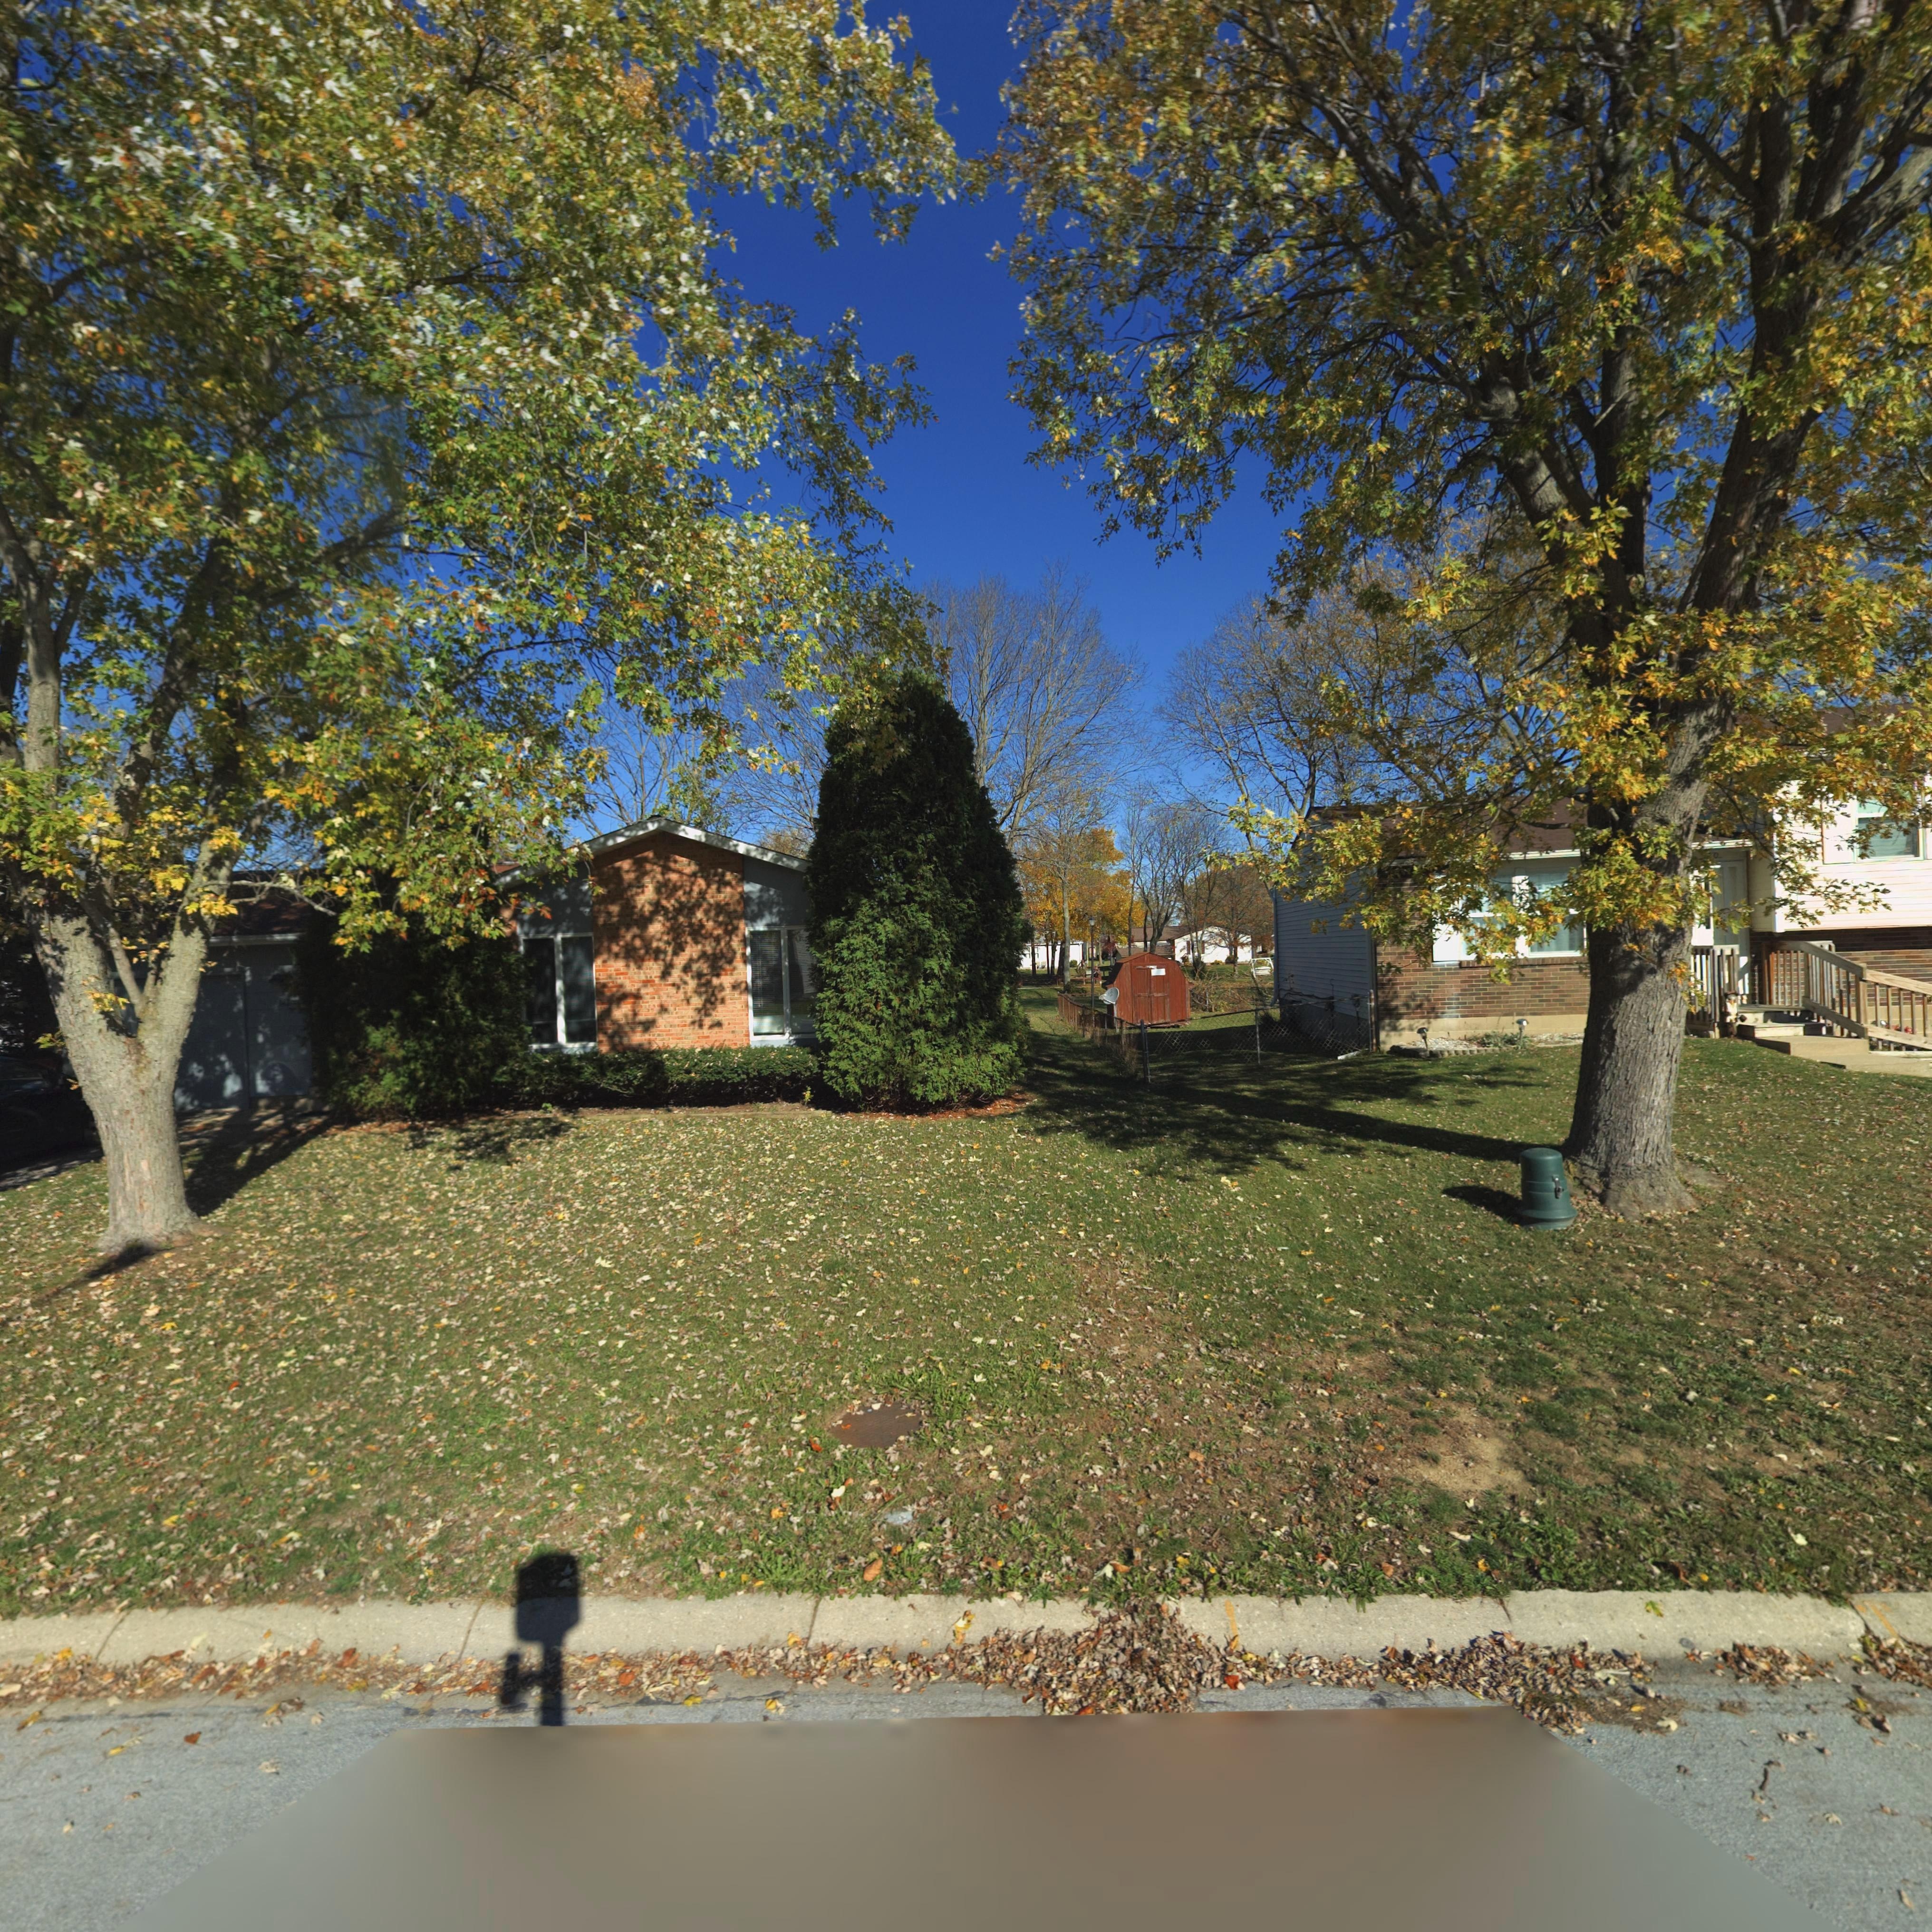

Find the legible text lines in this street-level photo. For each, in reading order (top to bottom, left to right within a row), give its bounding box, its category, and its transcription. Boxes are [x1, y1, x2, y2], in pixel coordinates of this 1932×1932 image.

[1712, 851, 1719, 859] StreetNumber: 0